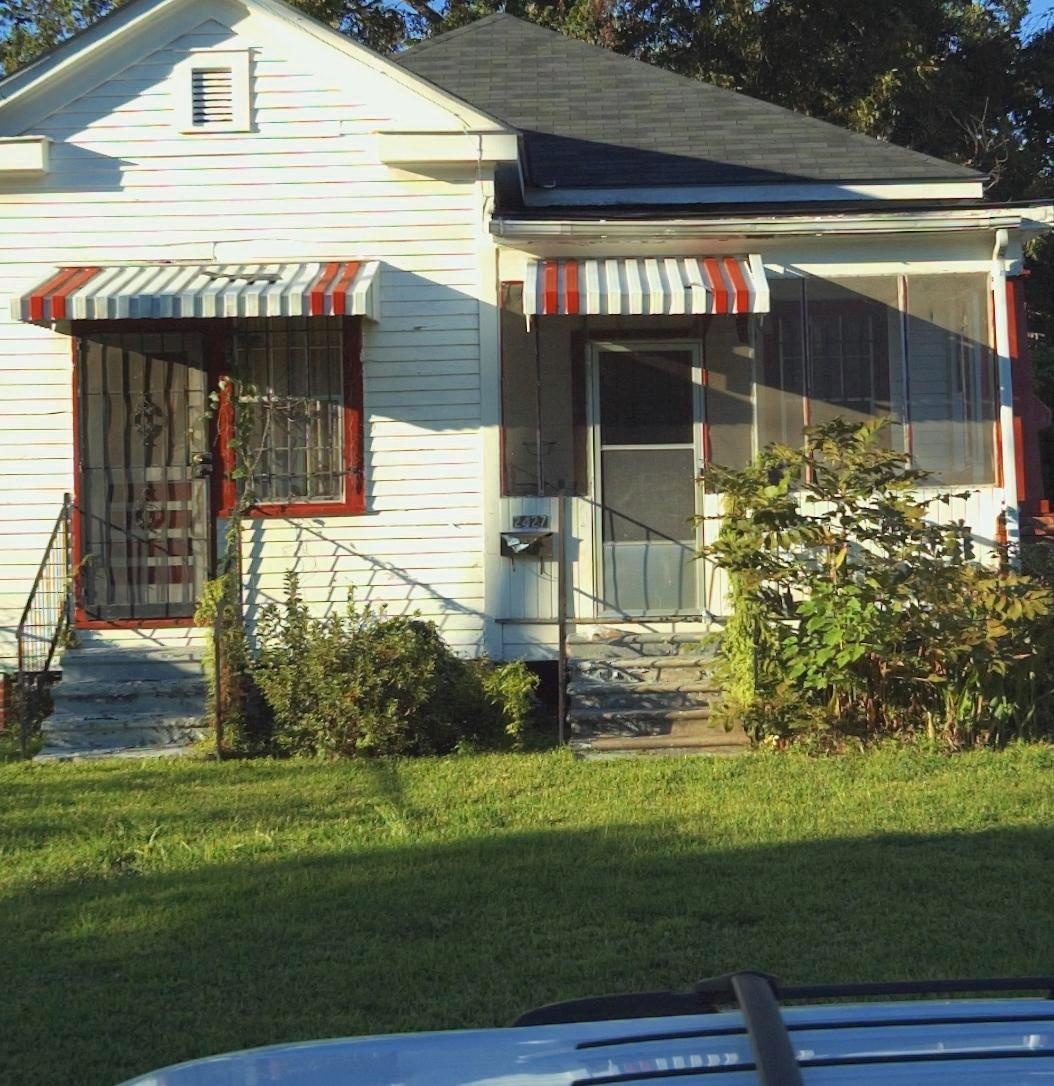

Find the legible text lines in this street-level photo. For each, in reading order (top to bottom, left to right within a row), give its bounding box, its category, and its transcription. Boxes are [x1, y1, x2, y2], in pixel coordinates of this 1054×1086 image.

[513, 514, 548, 529] StreetNumber: 2427